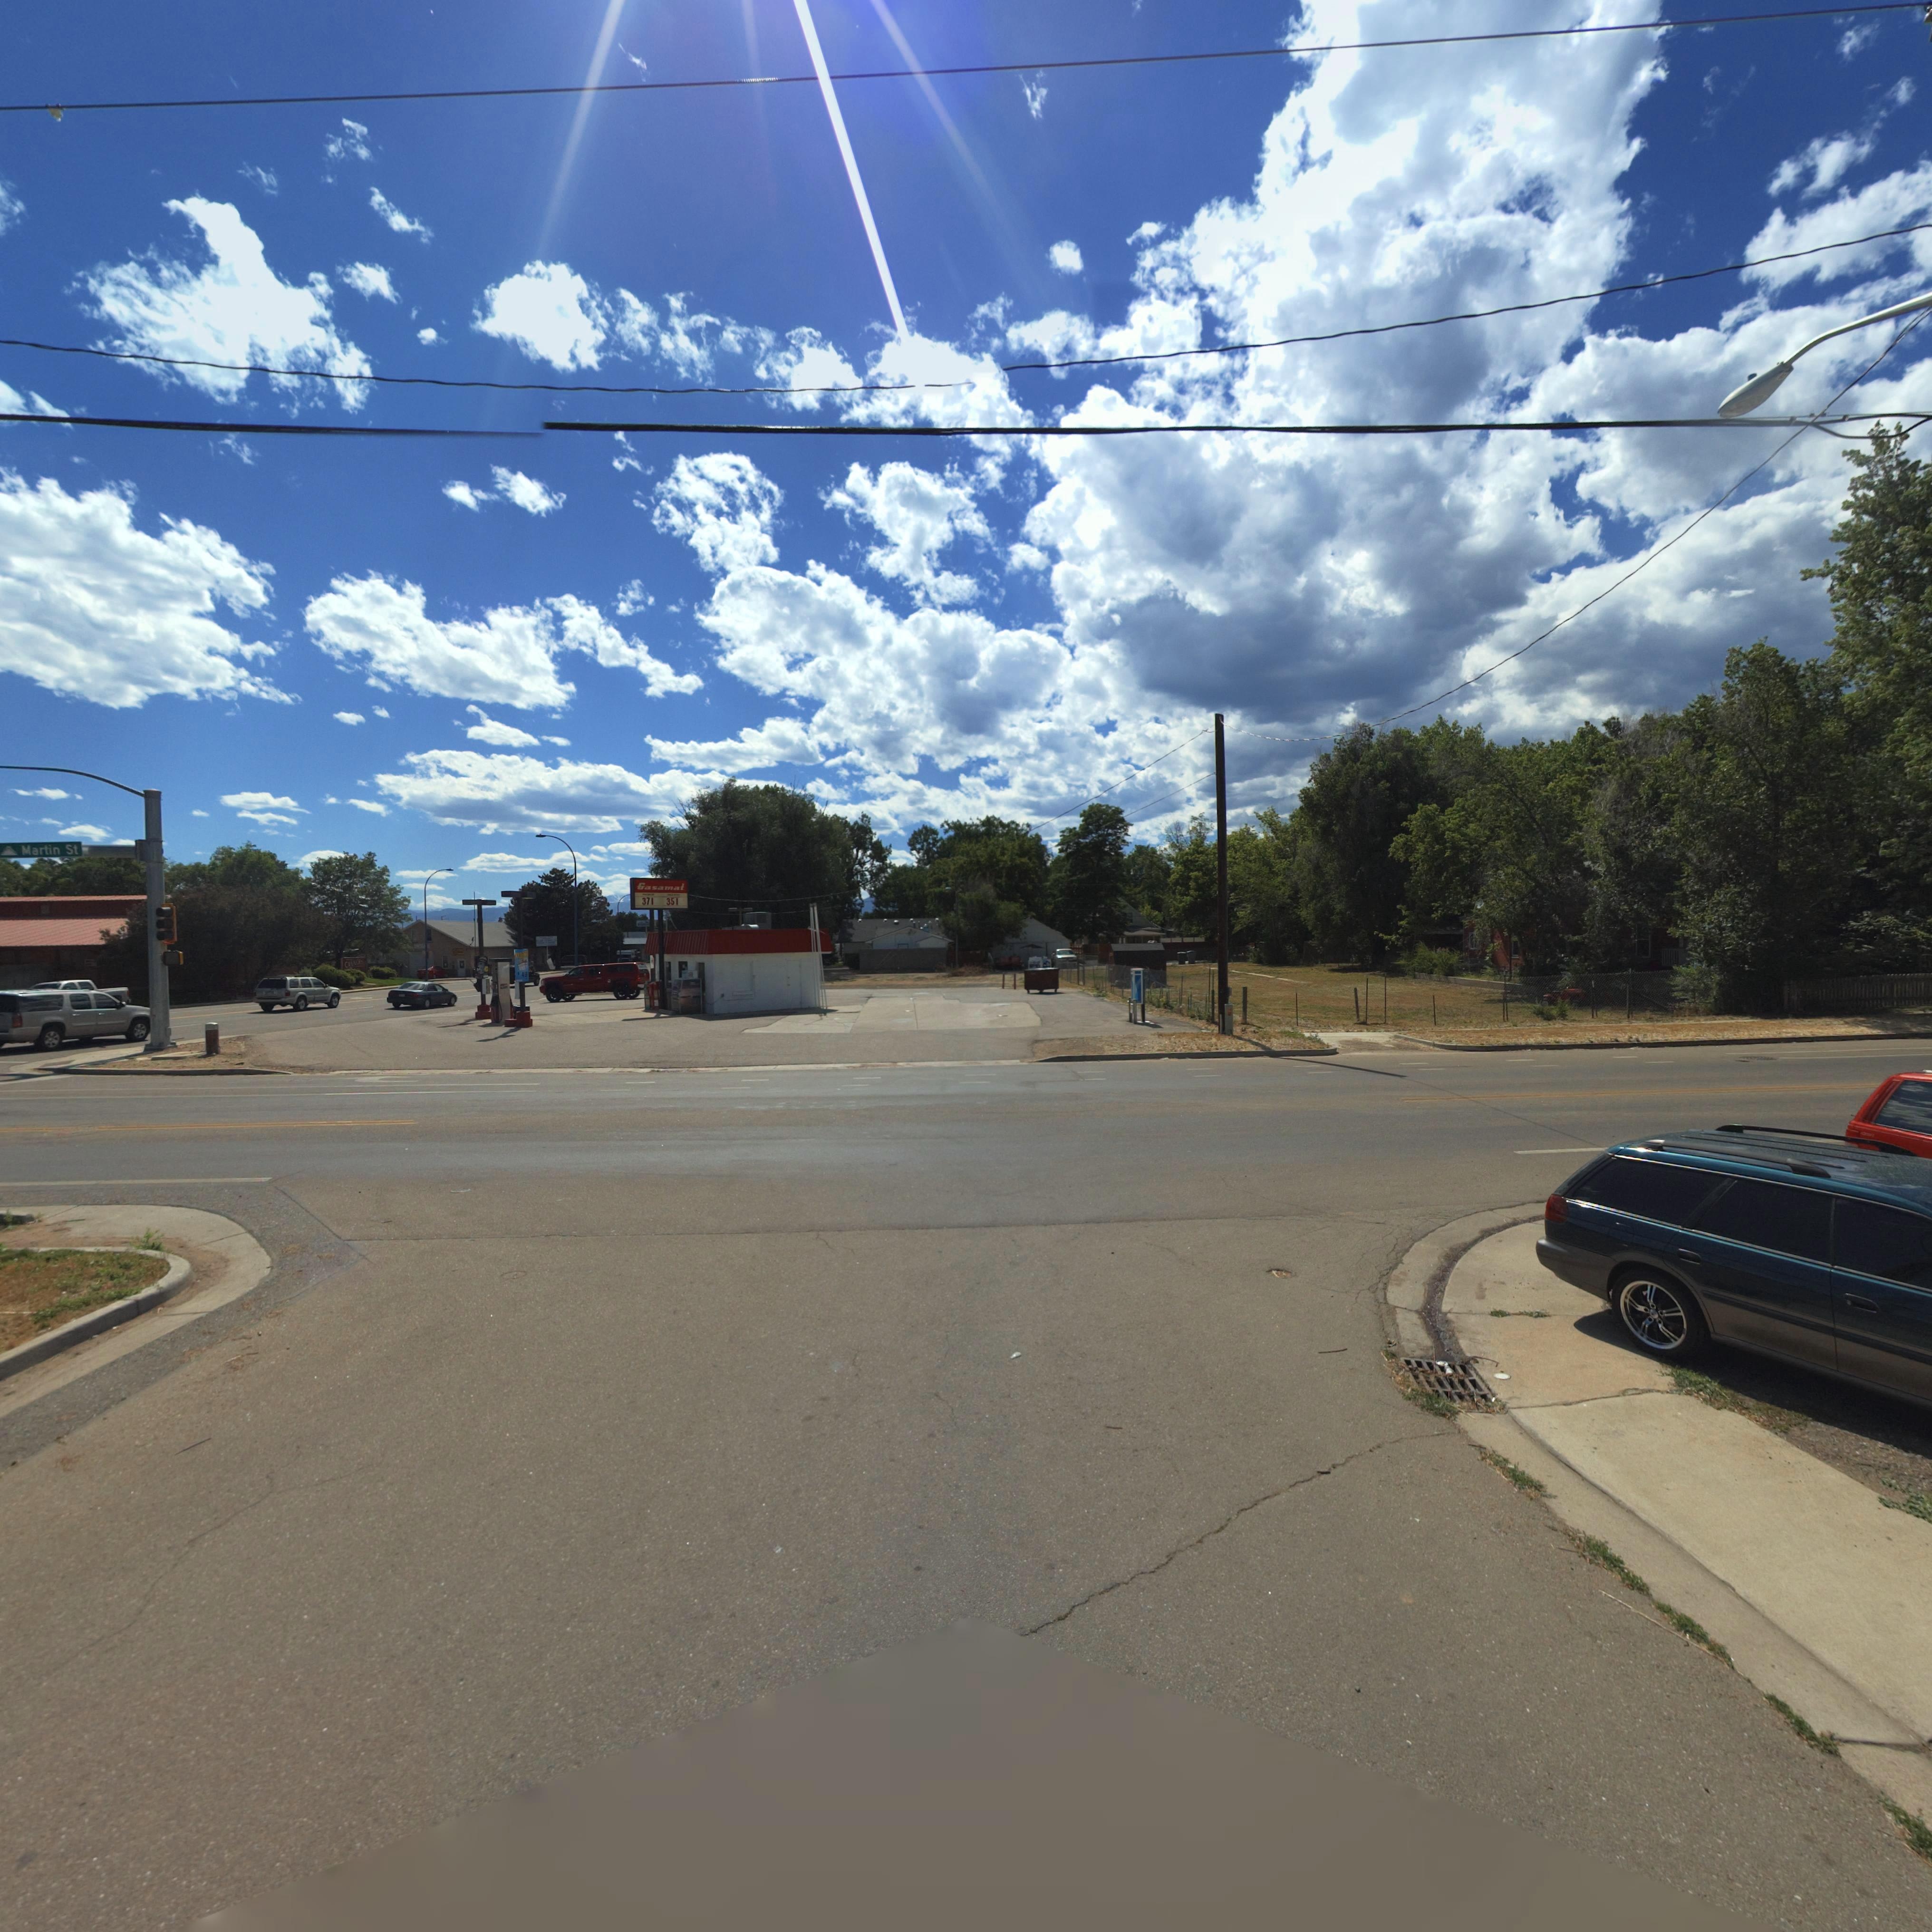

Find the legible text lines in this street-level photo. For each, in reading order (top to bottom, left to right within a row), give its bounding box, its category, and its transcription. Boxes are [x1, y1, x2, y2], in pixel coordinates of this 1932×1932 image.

[21, 844, 79, 856] StreetName: Martin St
[637, 882, 686, 890] BusinessName: Gasamat